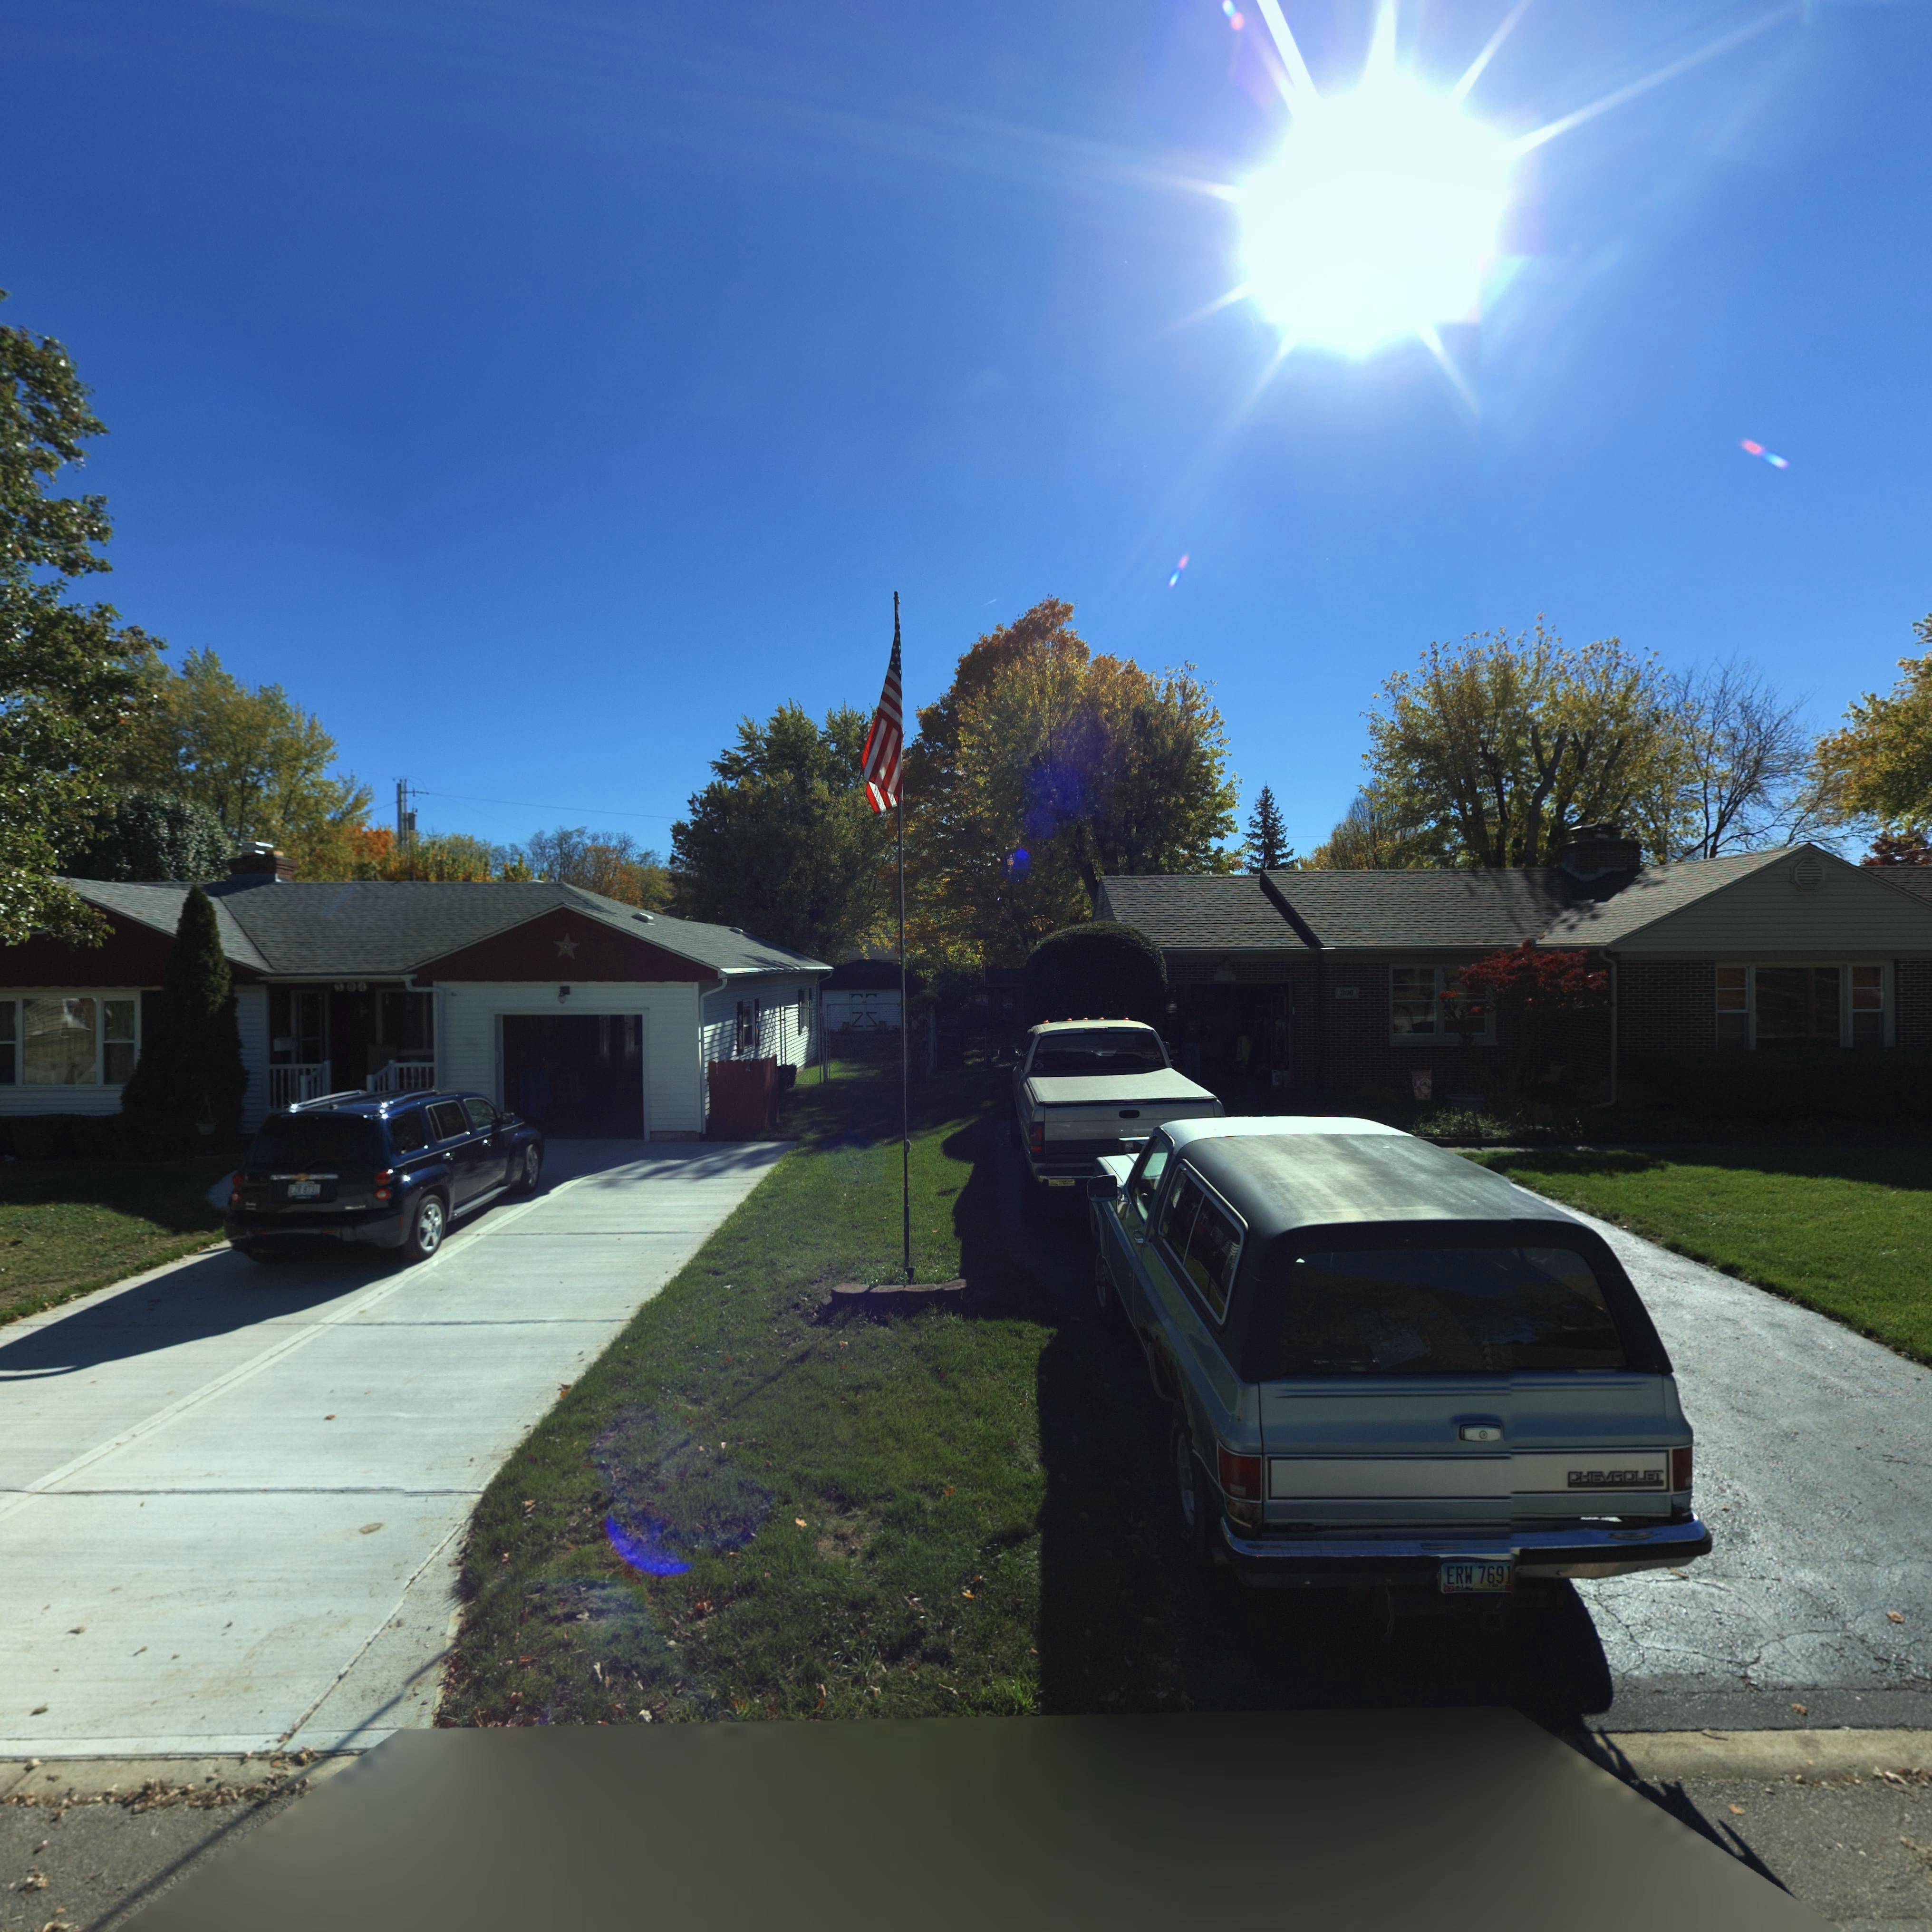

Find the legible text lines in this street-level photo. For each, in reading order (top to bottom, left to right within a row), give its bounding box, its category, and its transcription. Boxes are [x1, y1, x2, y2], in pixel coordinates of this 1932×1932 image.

[334, 982, 365, 991] StreetNumber: 304
[1340, 990, 1354, 996] StreetNumber: 306